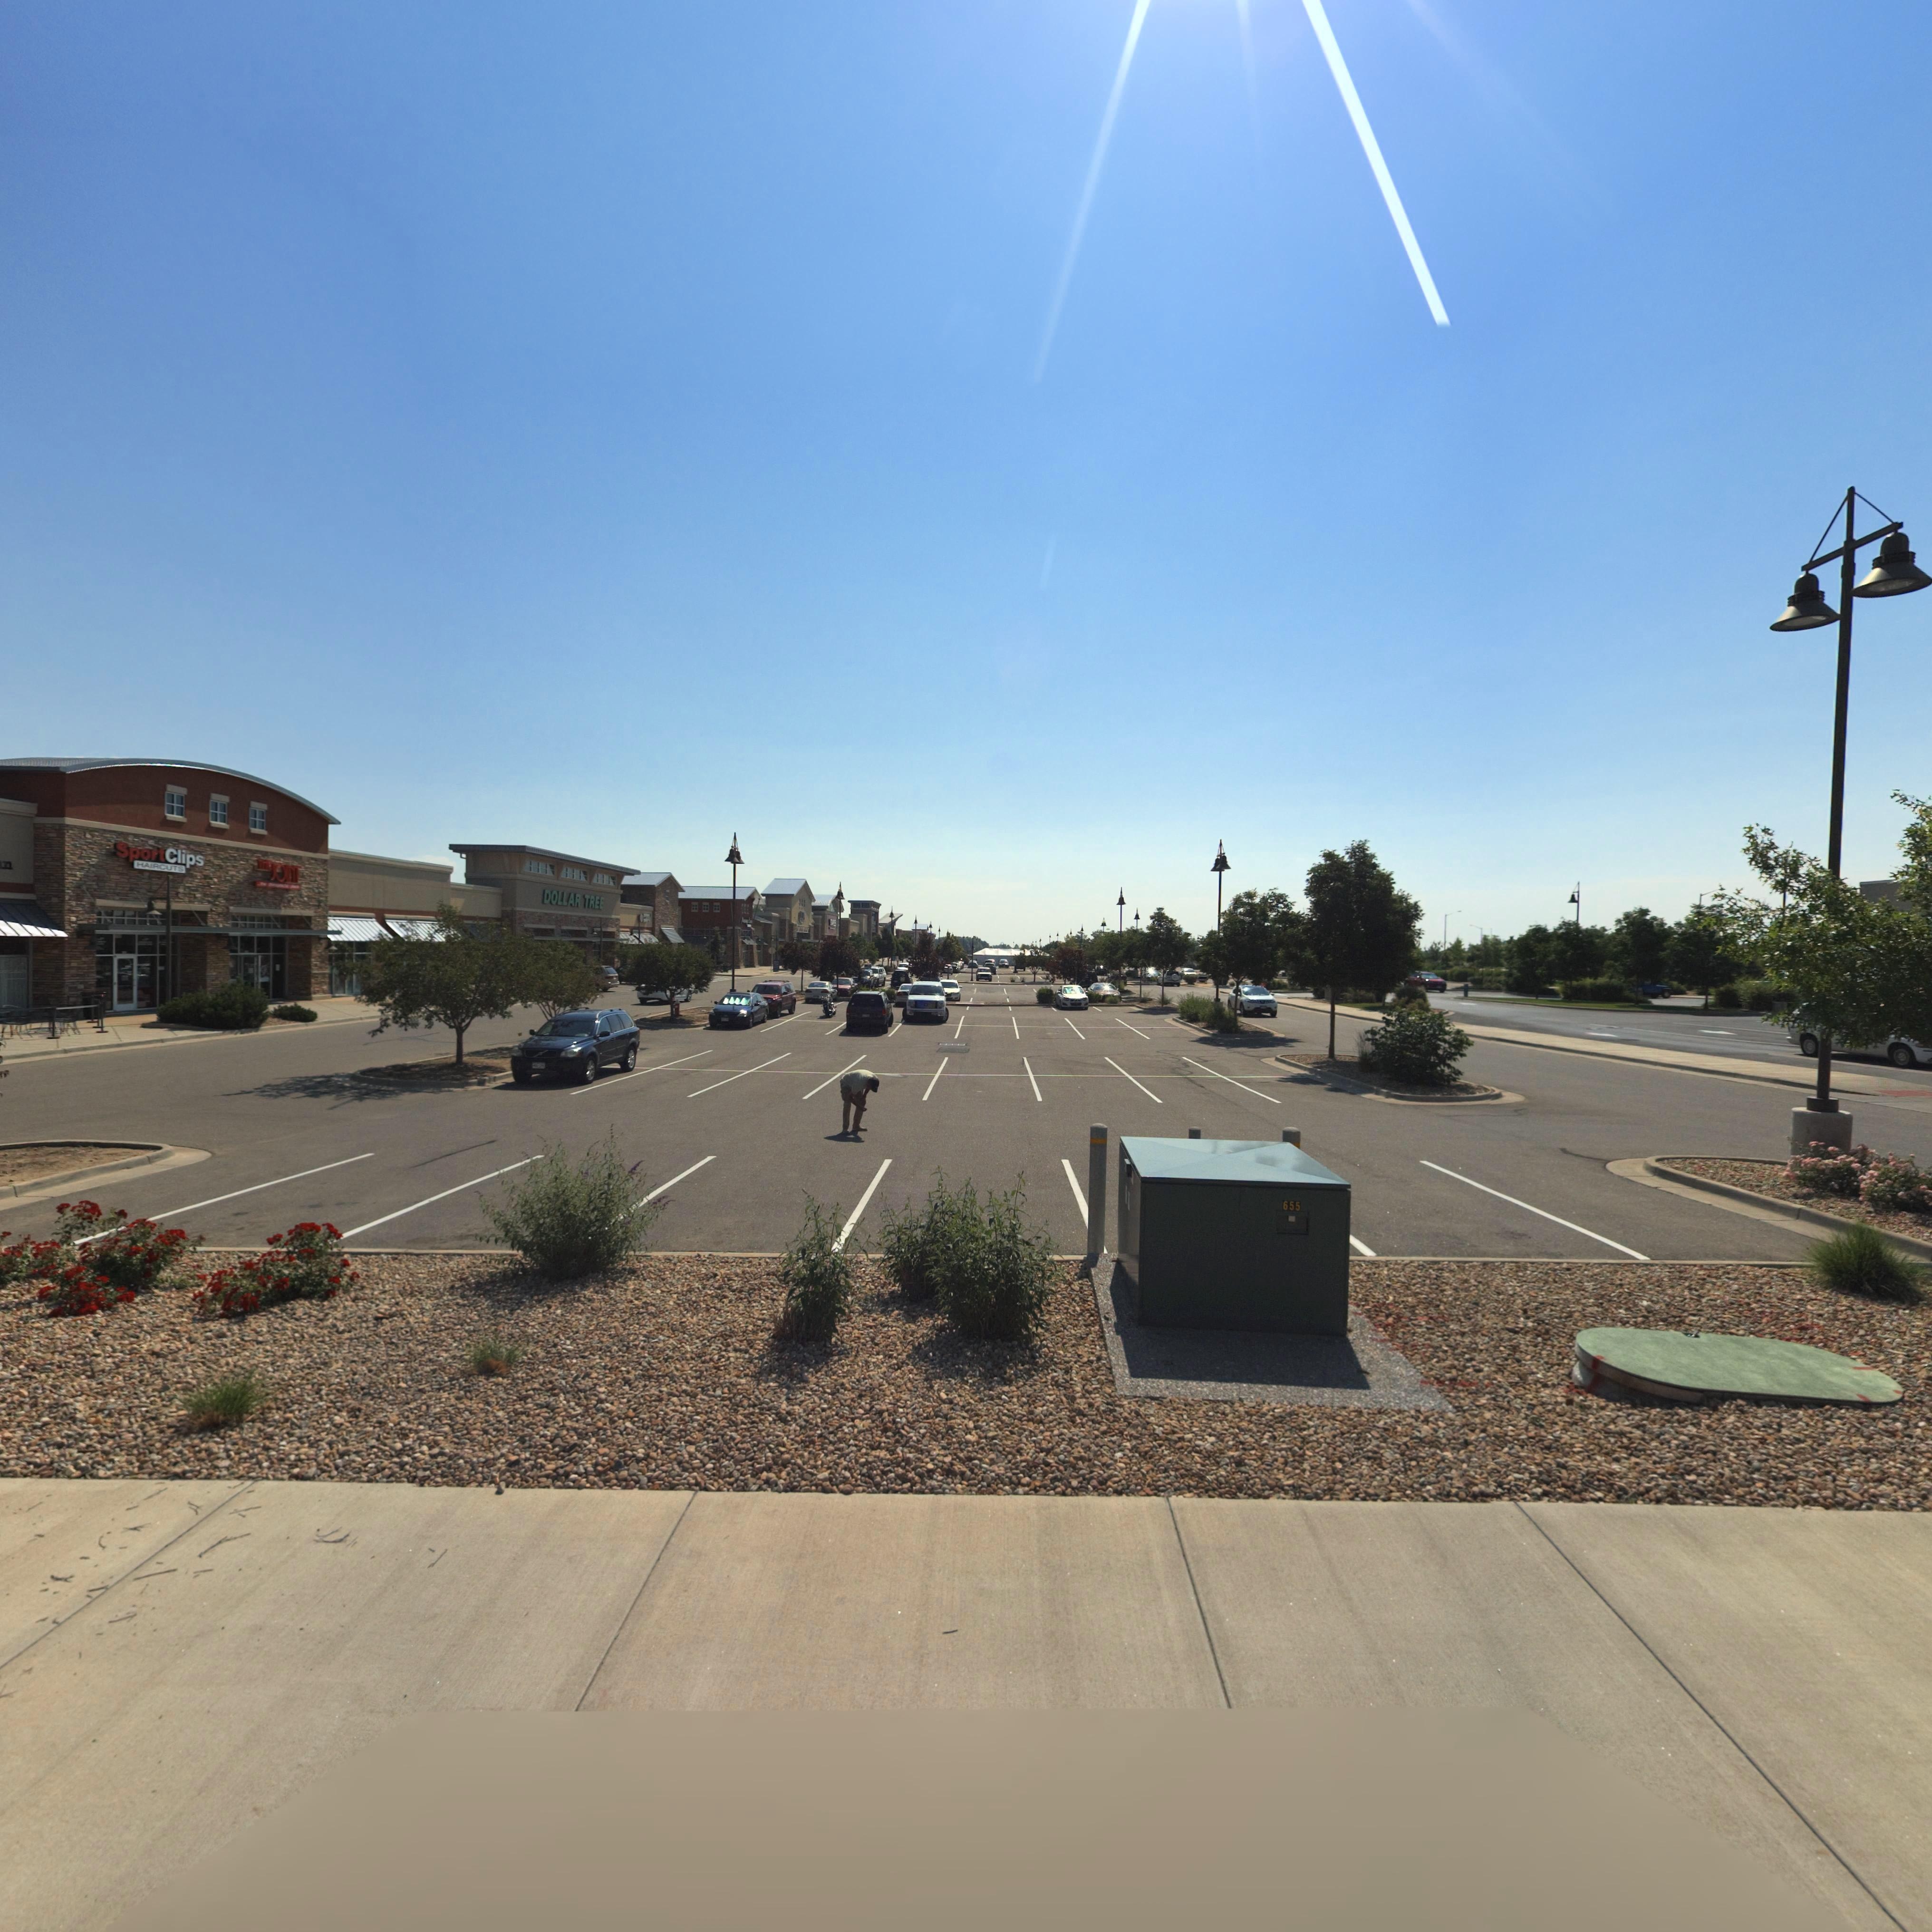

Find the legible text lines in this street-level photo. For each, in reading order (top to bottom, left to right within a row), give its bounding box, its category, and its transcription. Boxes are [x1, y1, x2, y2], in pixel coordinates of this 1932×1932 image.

[115, 841, 203, 868] BusinessName: SportClips
[257, 858, 300, 883] BusinessName: THEJOINT
[542, 889, 604, 910] BusinessName: DOLLAR TREE